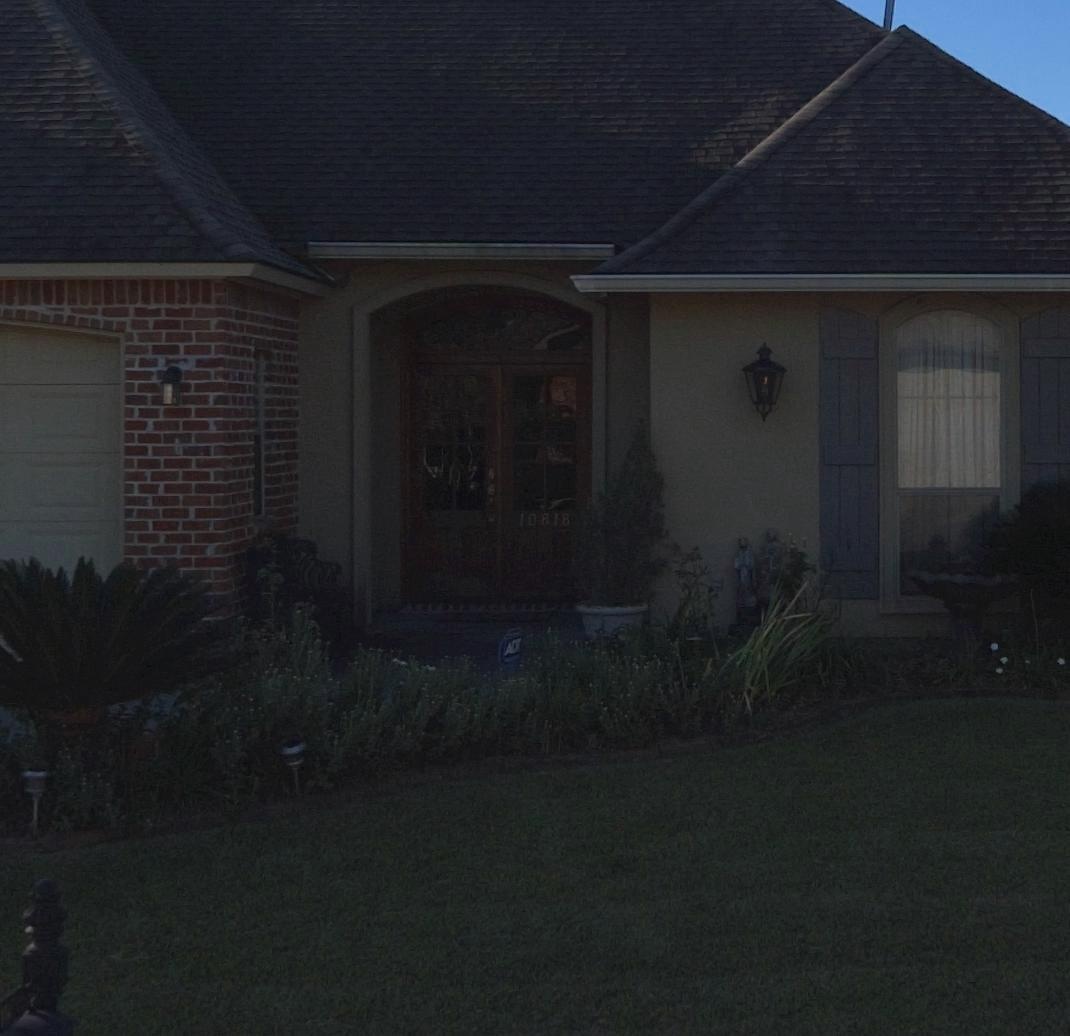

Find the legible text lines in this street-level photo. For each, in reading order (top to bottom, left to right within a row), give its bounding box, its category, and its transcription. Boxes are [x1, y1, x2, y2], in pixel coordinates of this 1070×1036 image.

[517, 510, 572, 529] StreetNumber: 10818
[500, 634, 524, 660] None: ADT